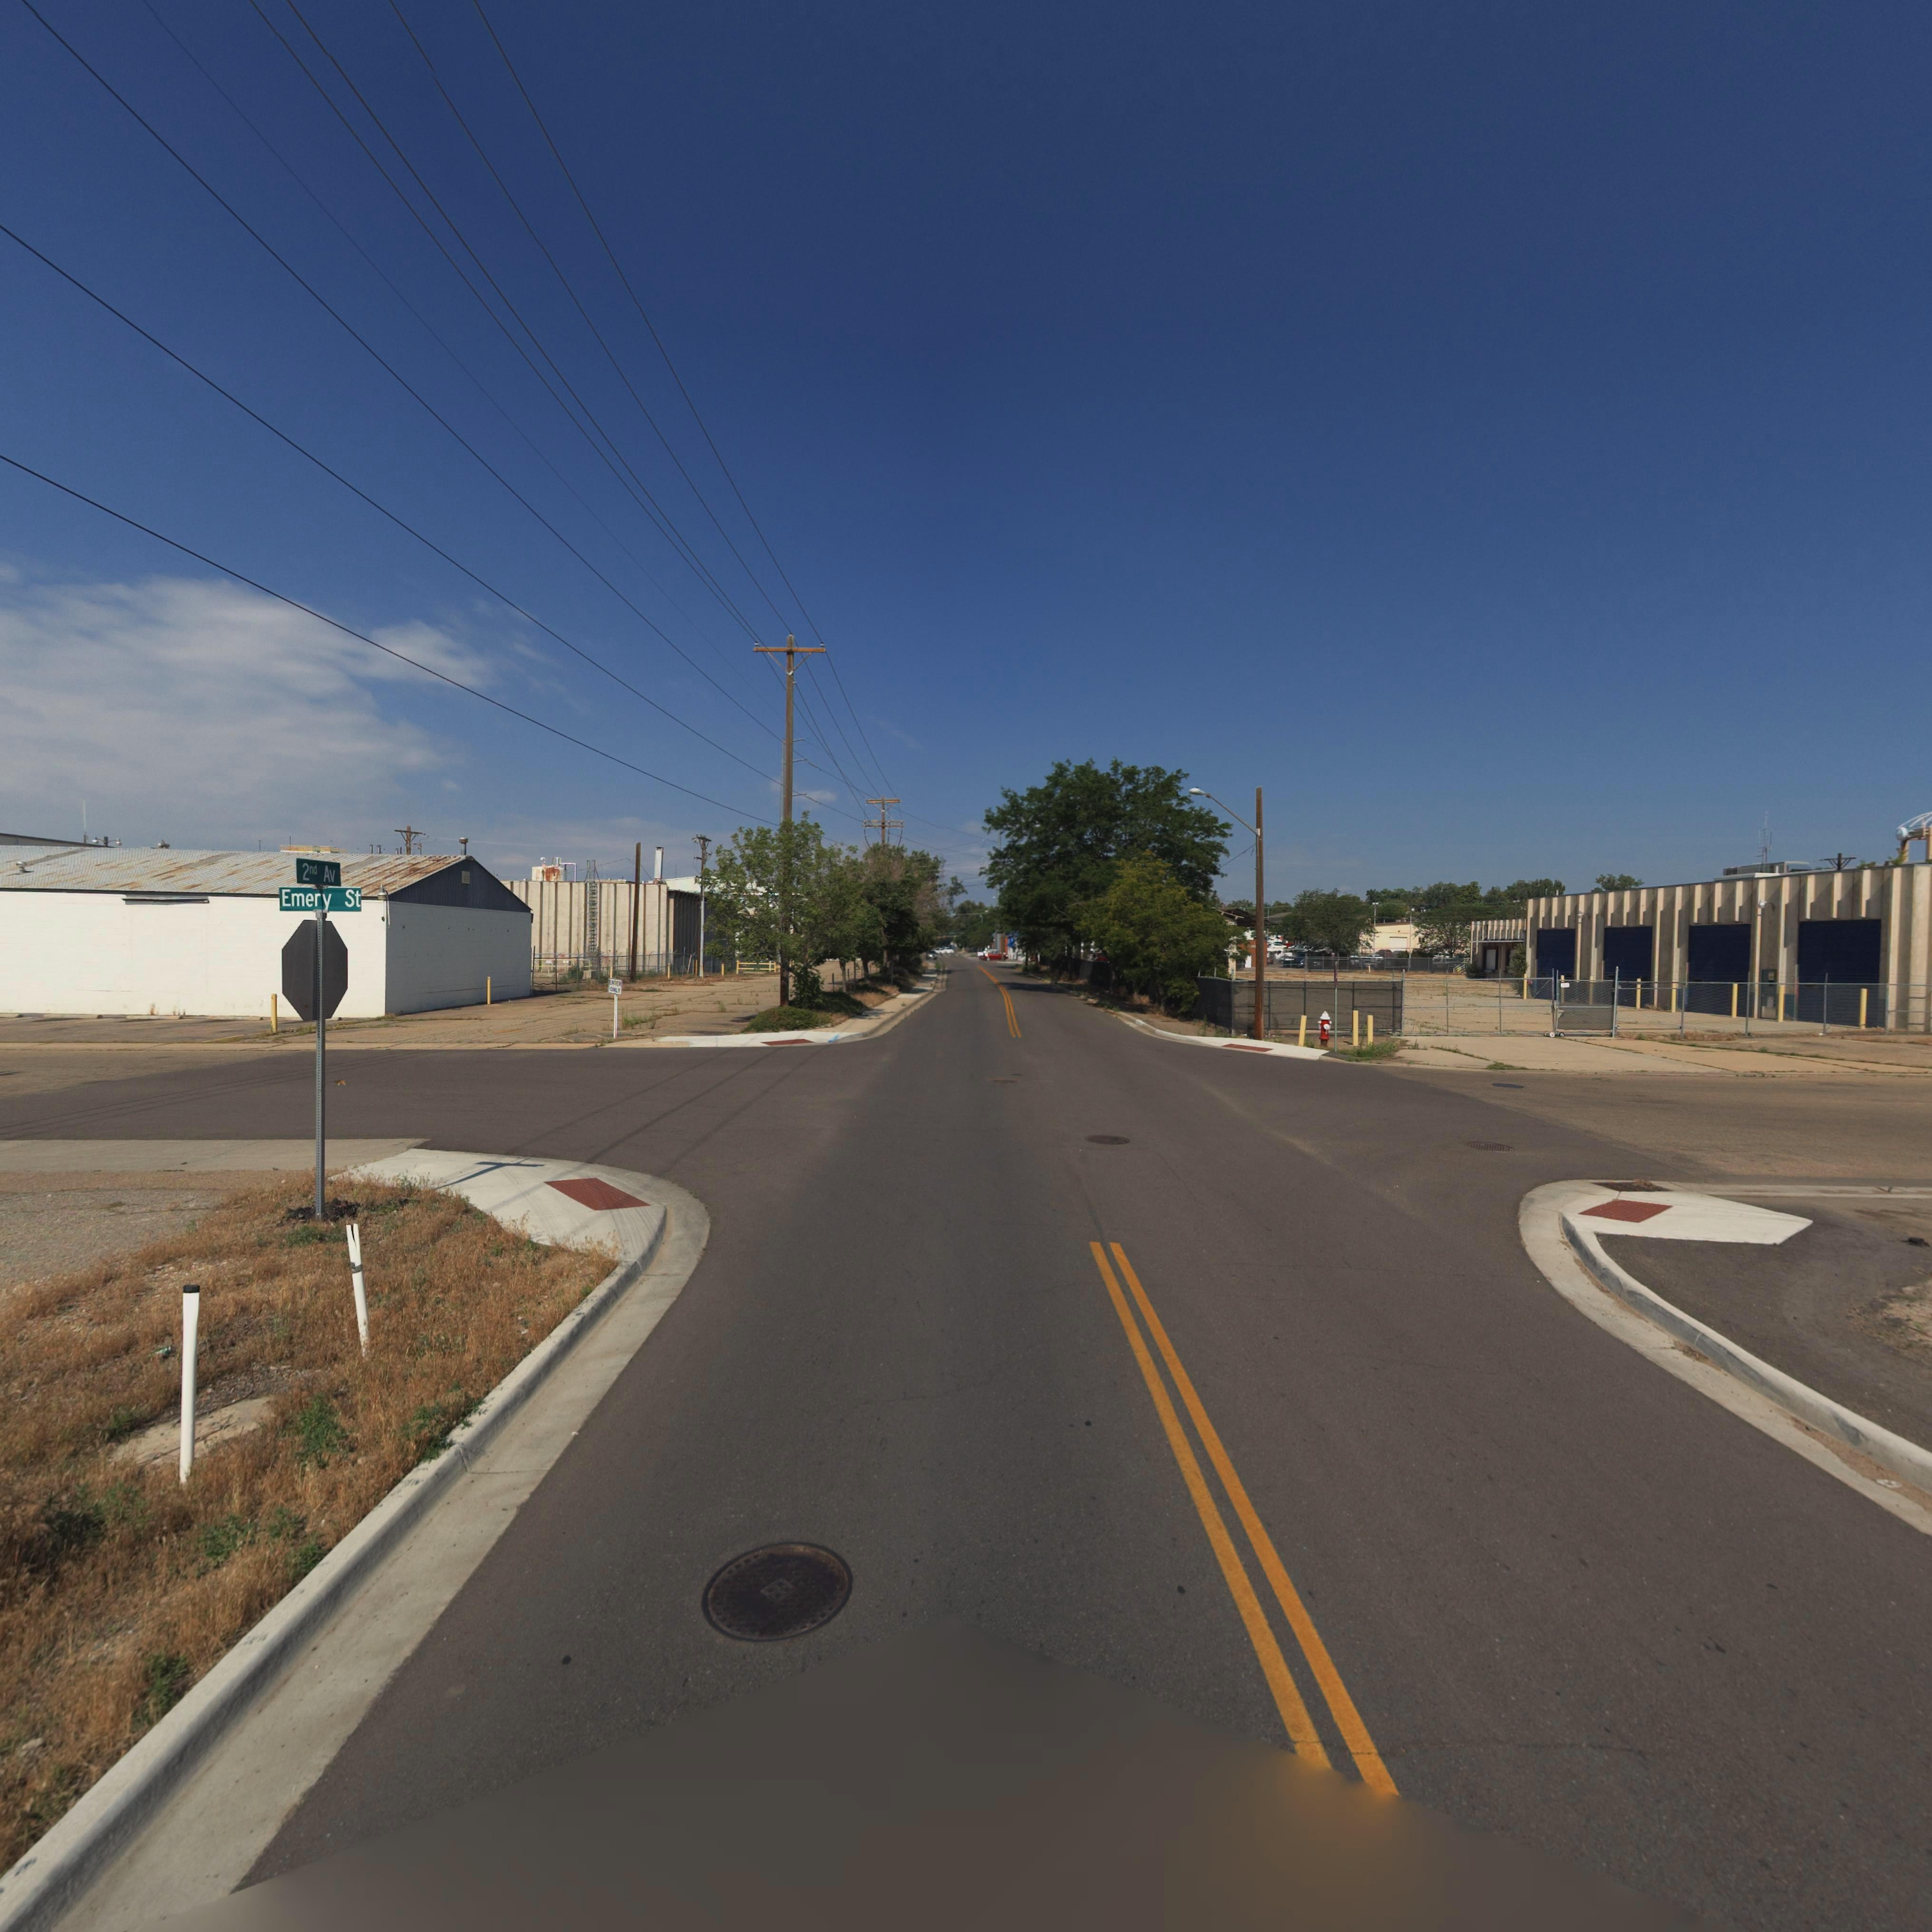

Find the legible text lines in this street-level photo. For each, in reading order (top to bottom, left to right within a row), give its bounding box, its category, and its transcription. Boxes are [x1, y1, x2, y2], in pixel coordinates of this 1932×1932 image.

[302, 862, 335, 883] StreetName: 2nd Av
[281, 889, 361, 910] StreetName: Emery St